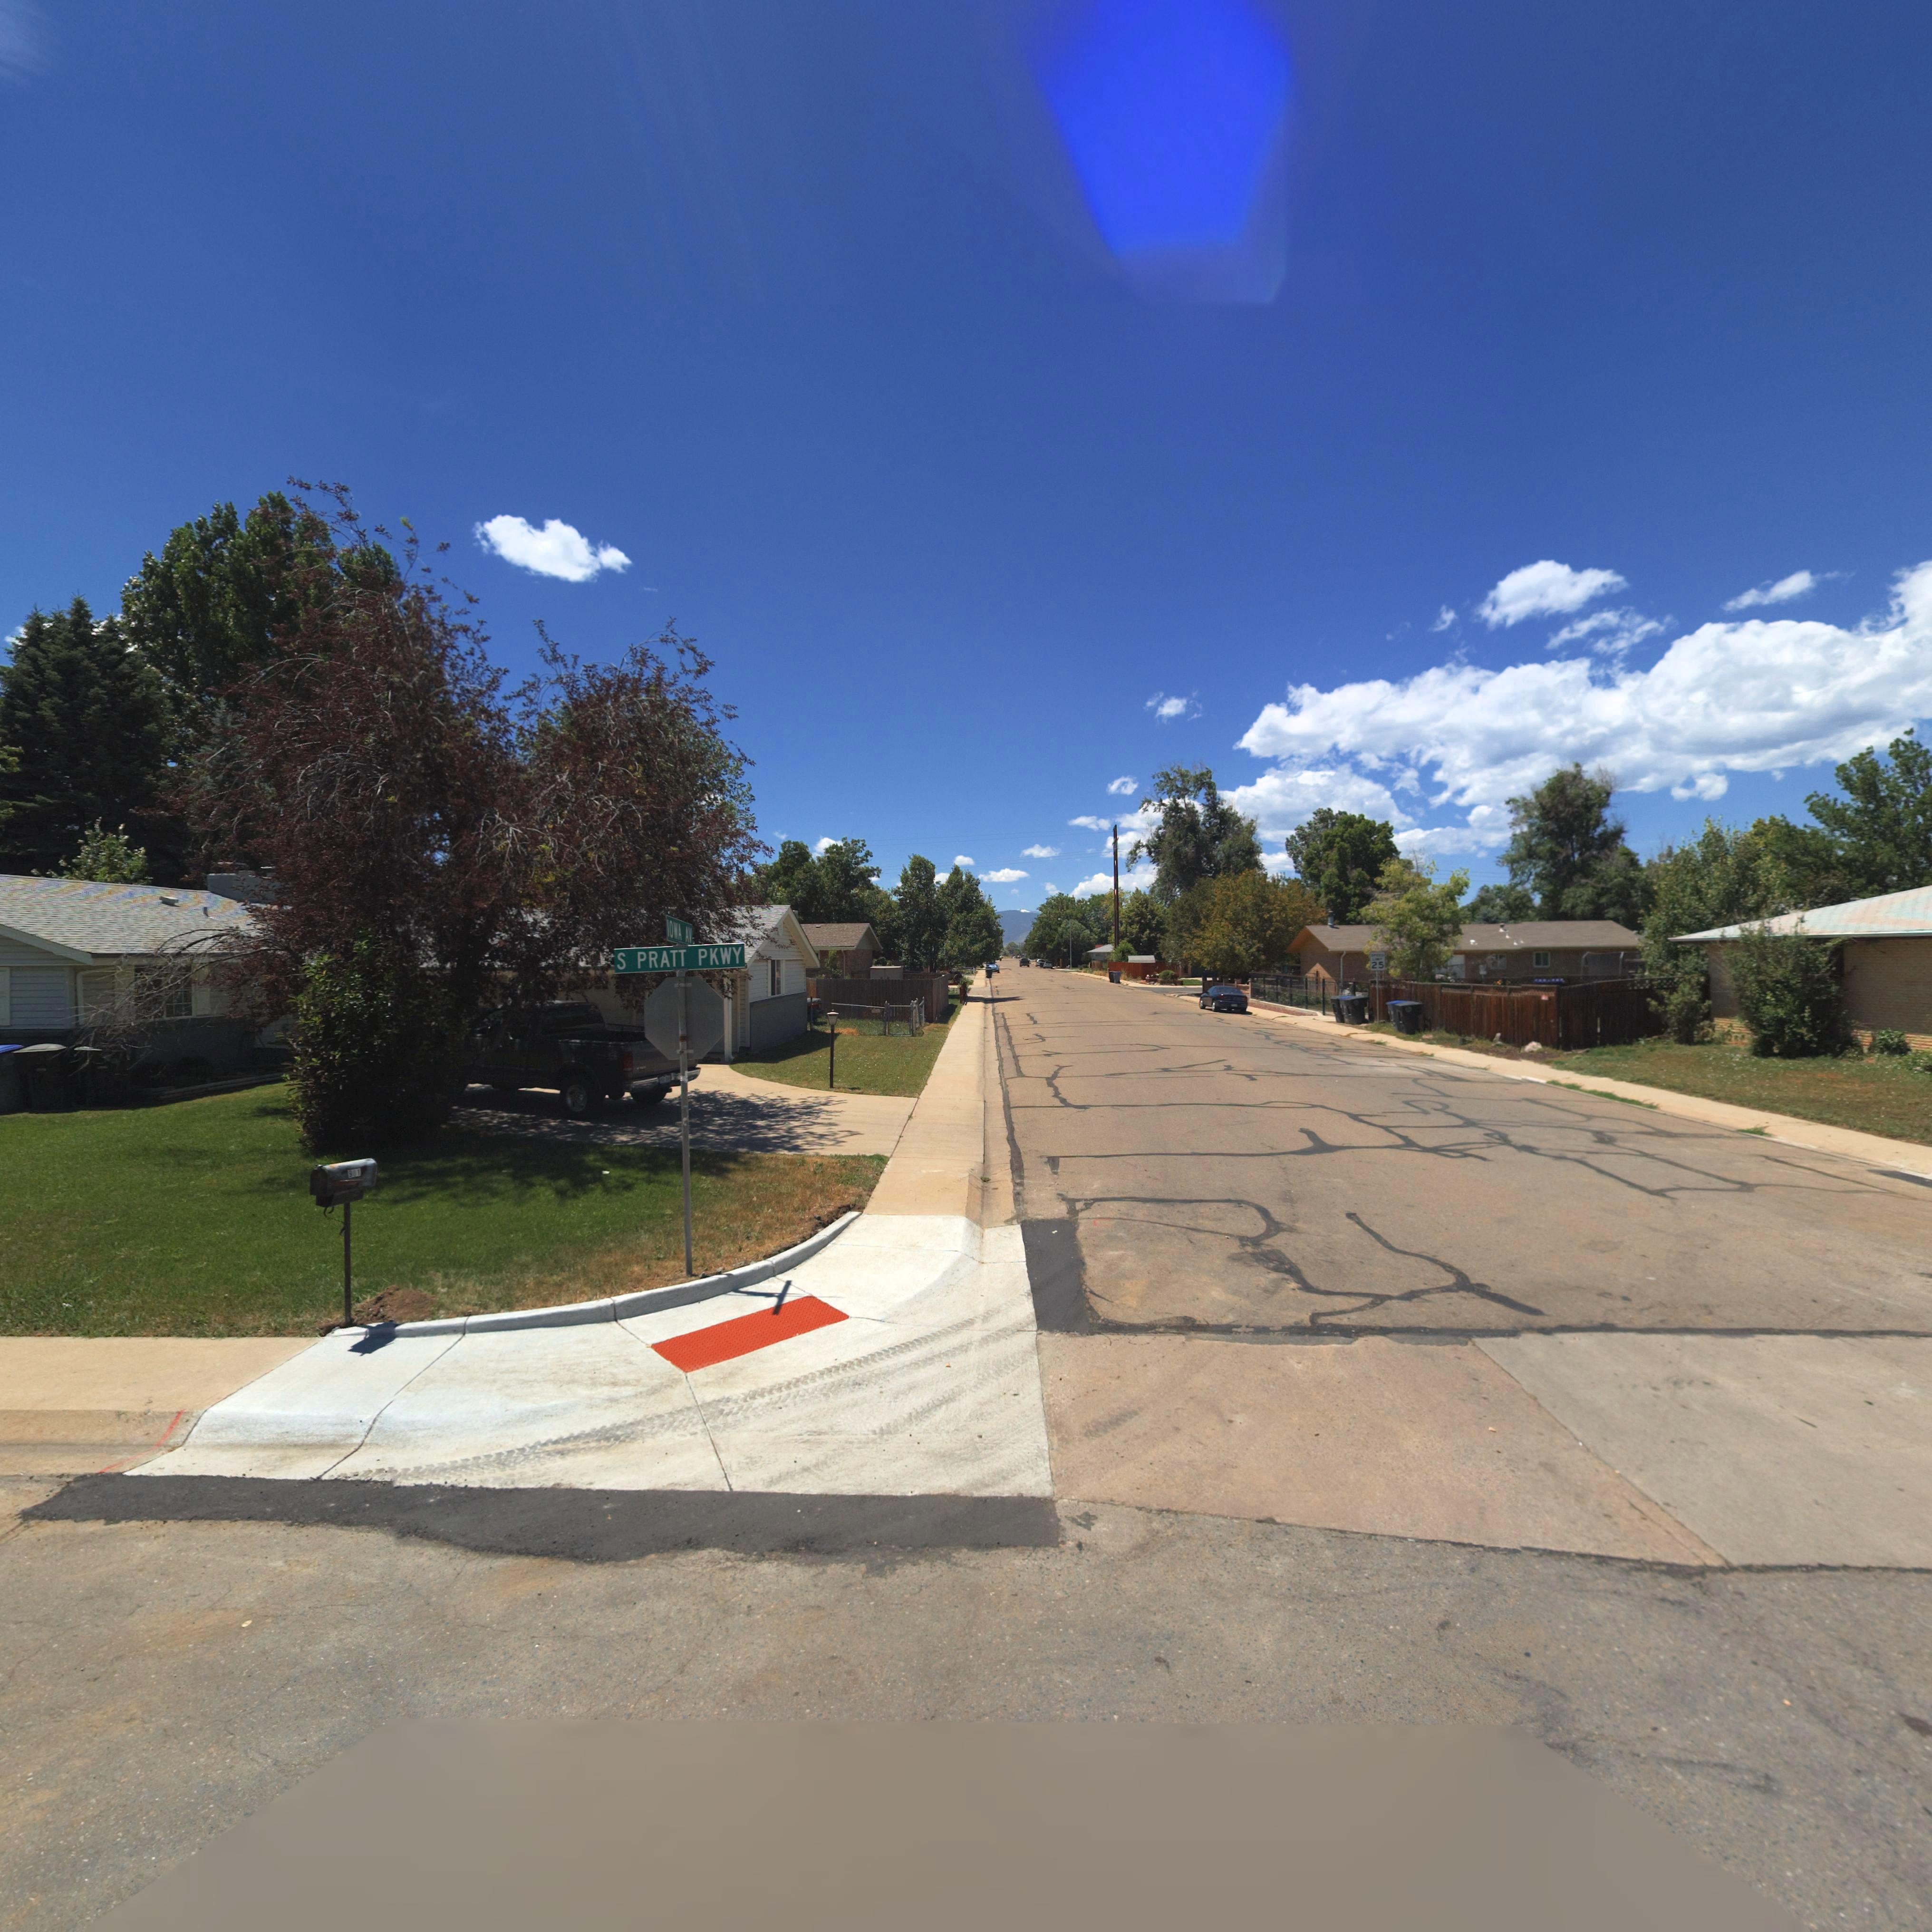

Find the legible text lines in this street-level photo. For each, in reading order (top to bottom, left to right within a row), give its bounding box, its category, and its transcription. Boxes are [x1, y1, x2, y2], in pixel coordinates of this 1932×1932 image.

[667, 918, 692, 944] StreetName: IOWA AV
[617, 946, 743, 970] StreetName: S PRATT PKWY
[348, 1168, 360, 1177] StreetNumber: 901